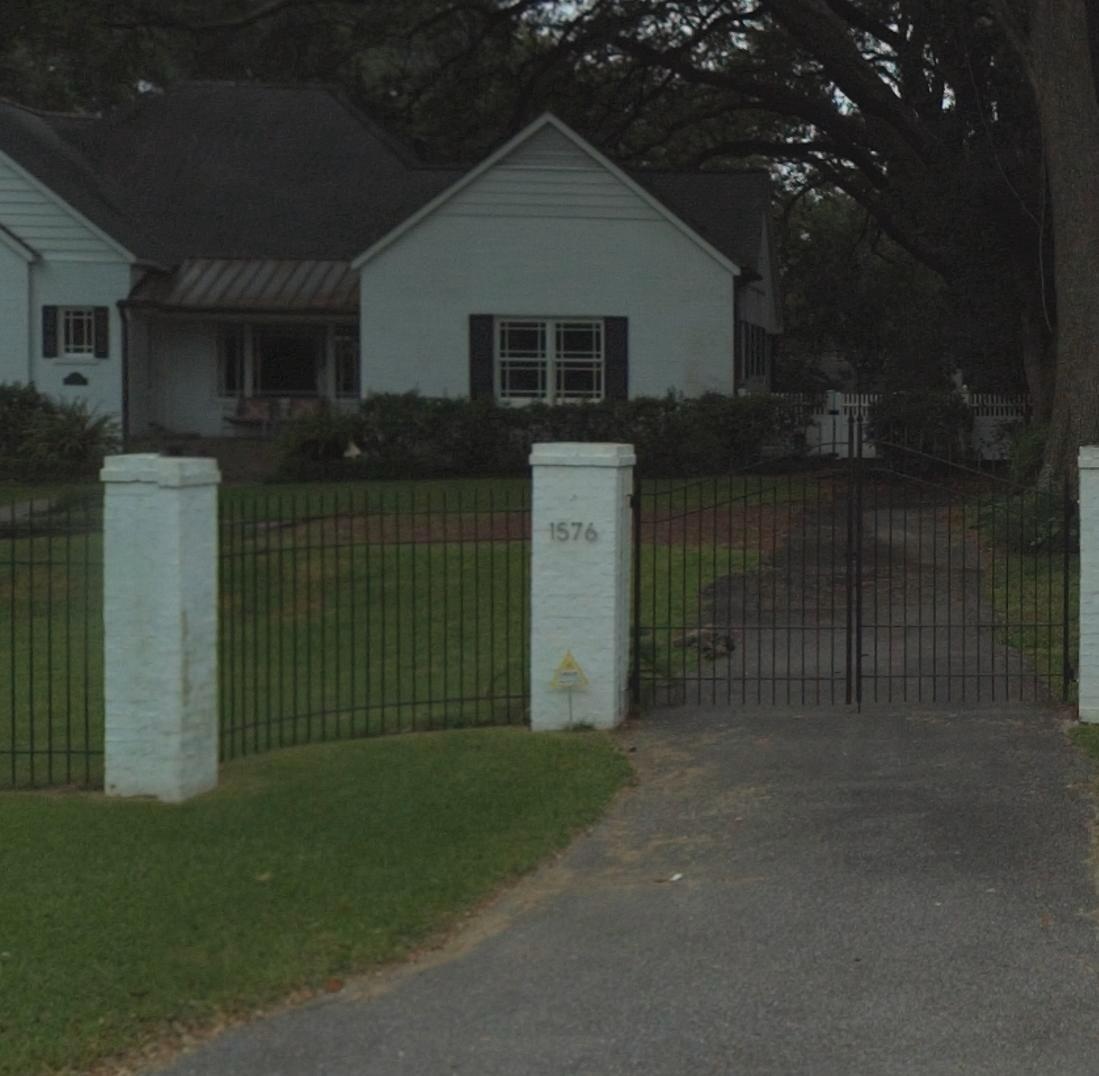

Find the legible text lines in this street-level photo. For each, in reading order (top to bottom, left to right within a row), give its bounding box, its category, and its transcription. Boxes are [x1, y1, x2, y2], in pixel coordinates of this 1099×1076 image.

[549, 520, 597, 542] StreetNumber: 1576